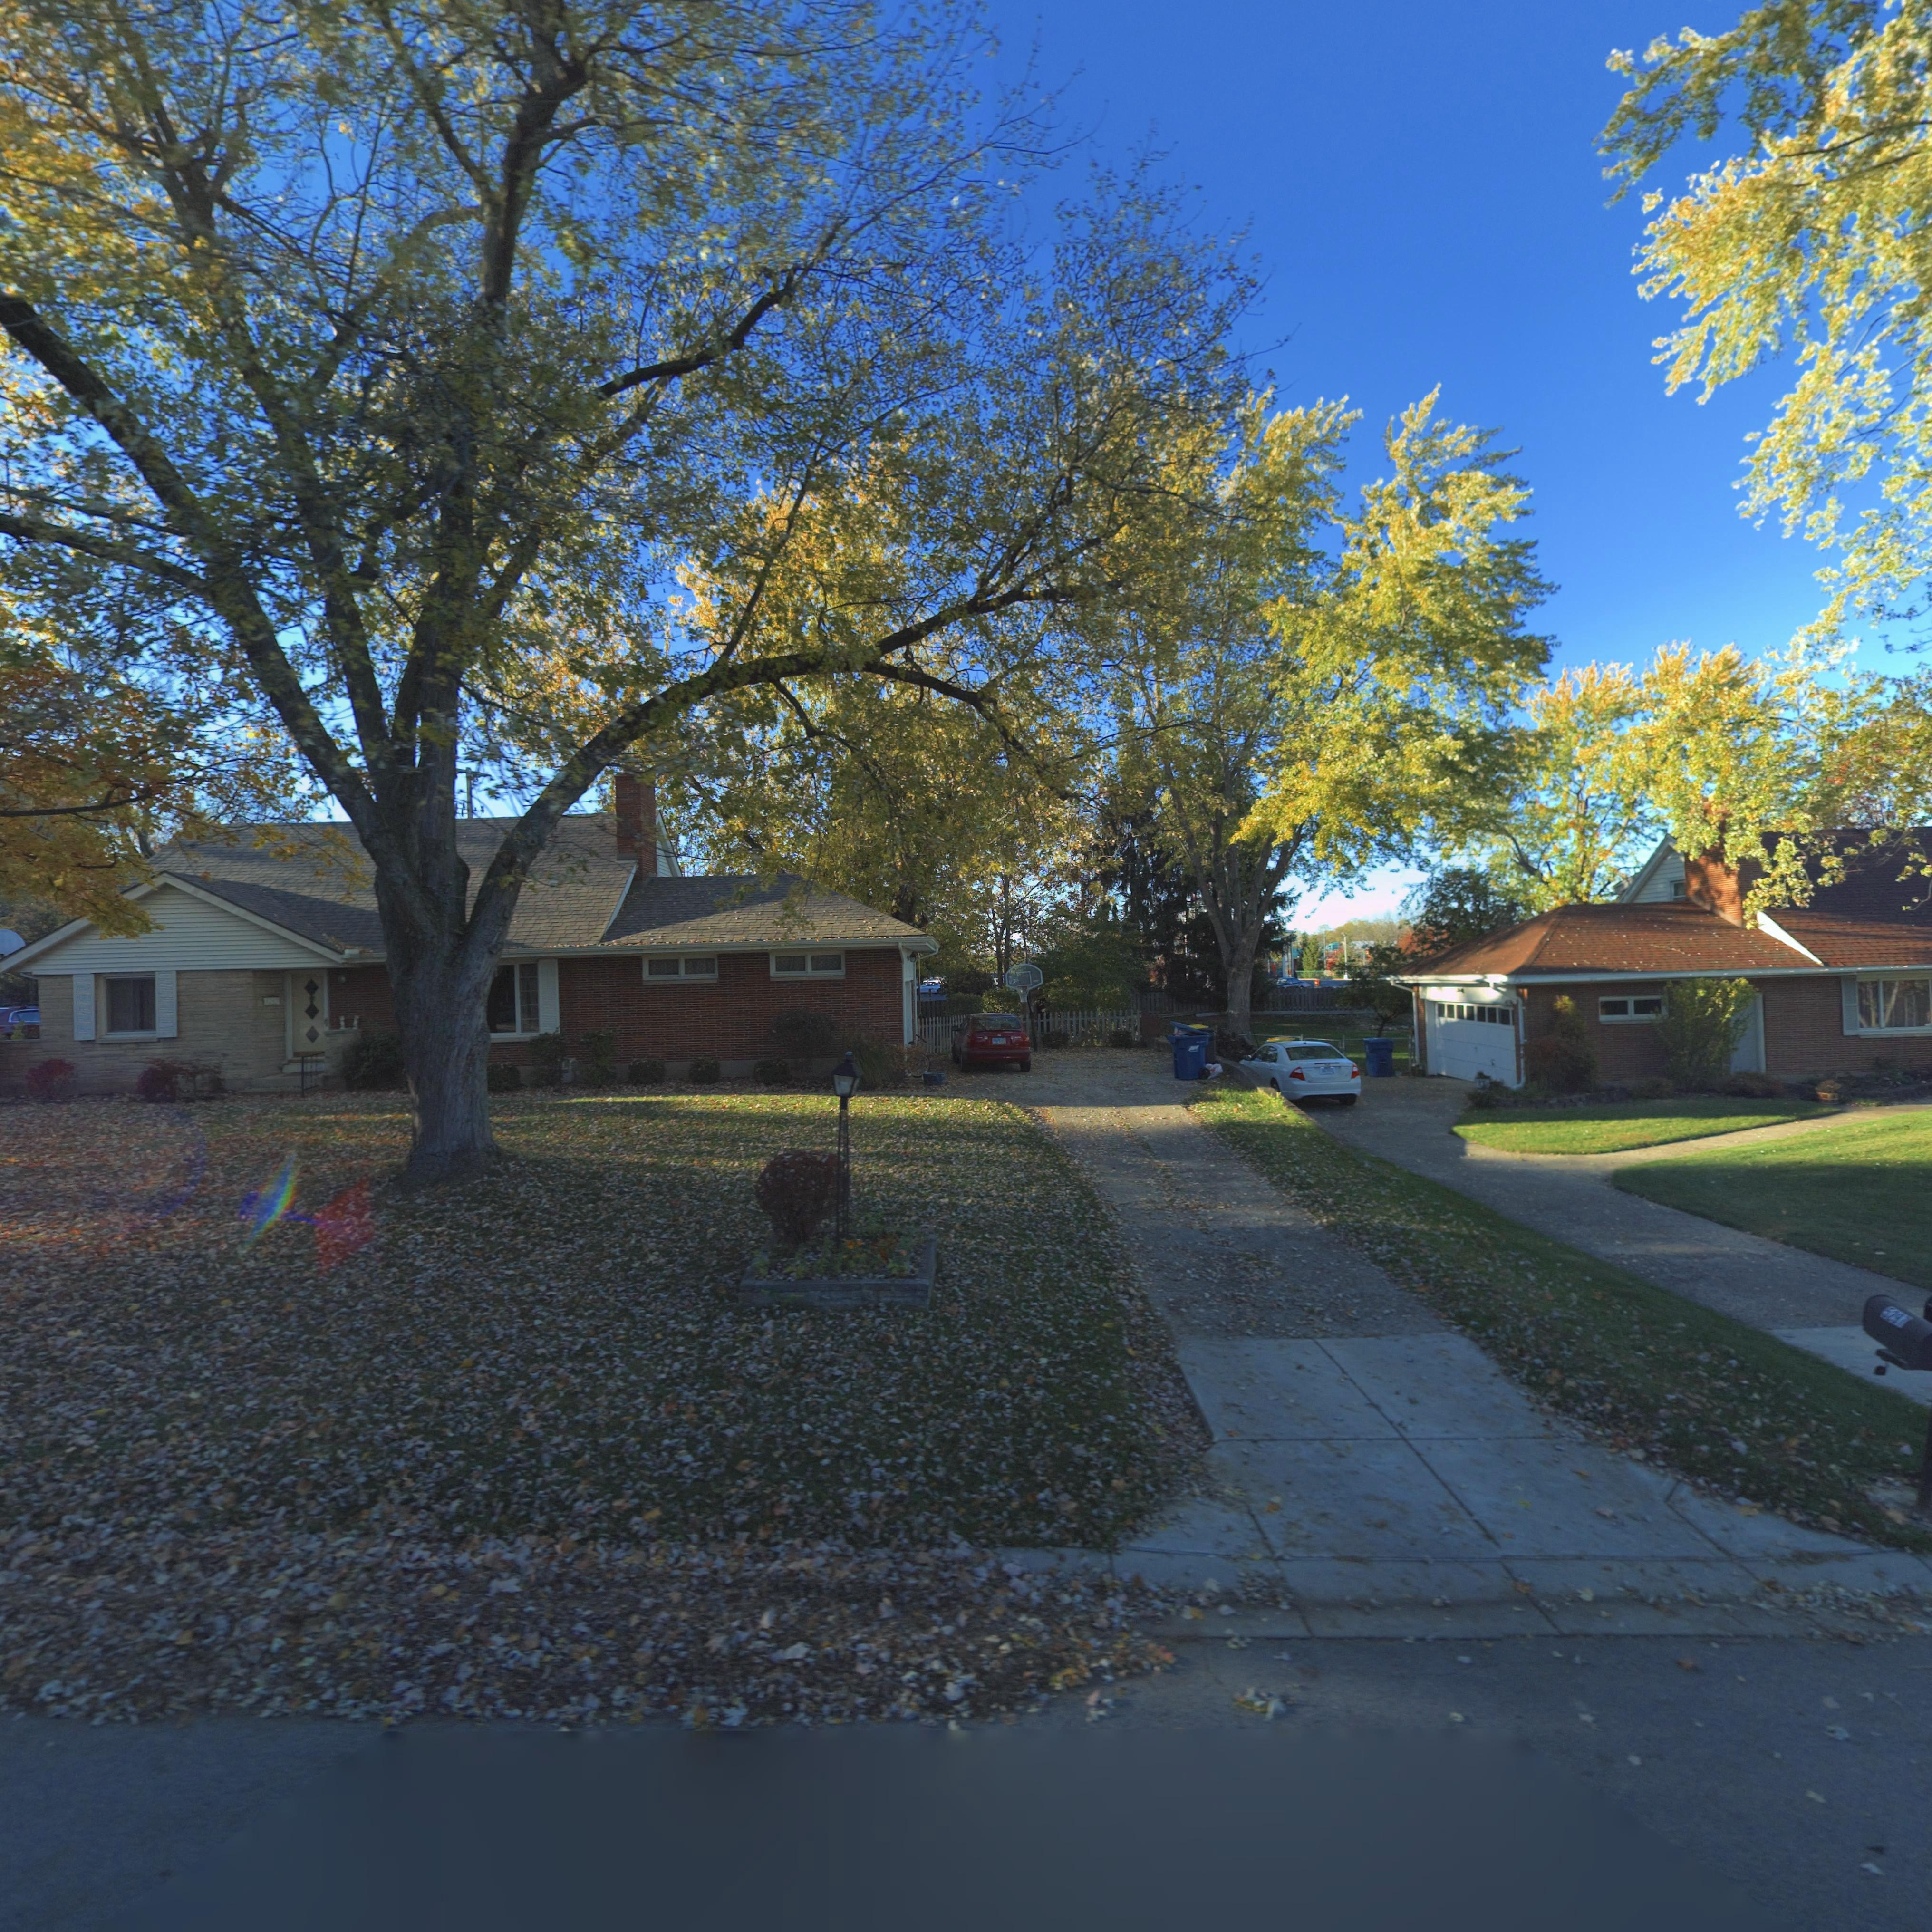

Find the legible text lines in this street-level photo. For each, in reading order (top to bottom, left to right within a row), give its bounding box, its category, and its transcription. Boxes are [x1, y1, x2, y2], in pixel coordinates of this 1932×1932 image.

[1879, 1305, 1911, 1328] StreetNumber: 529*